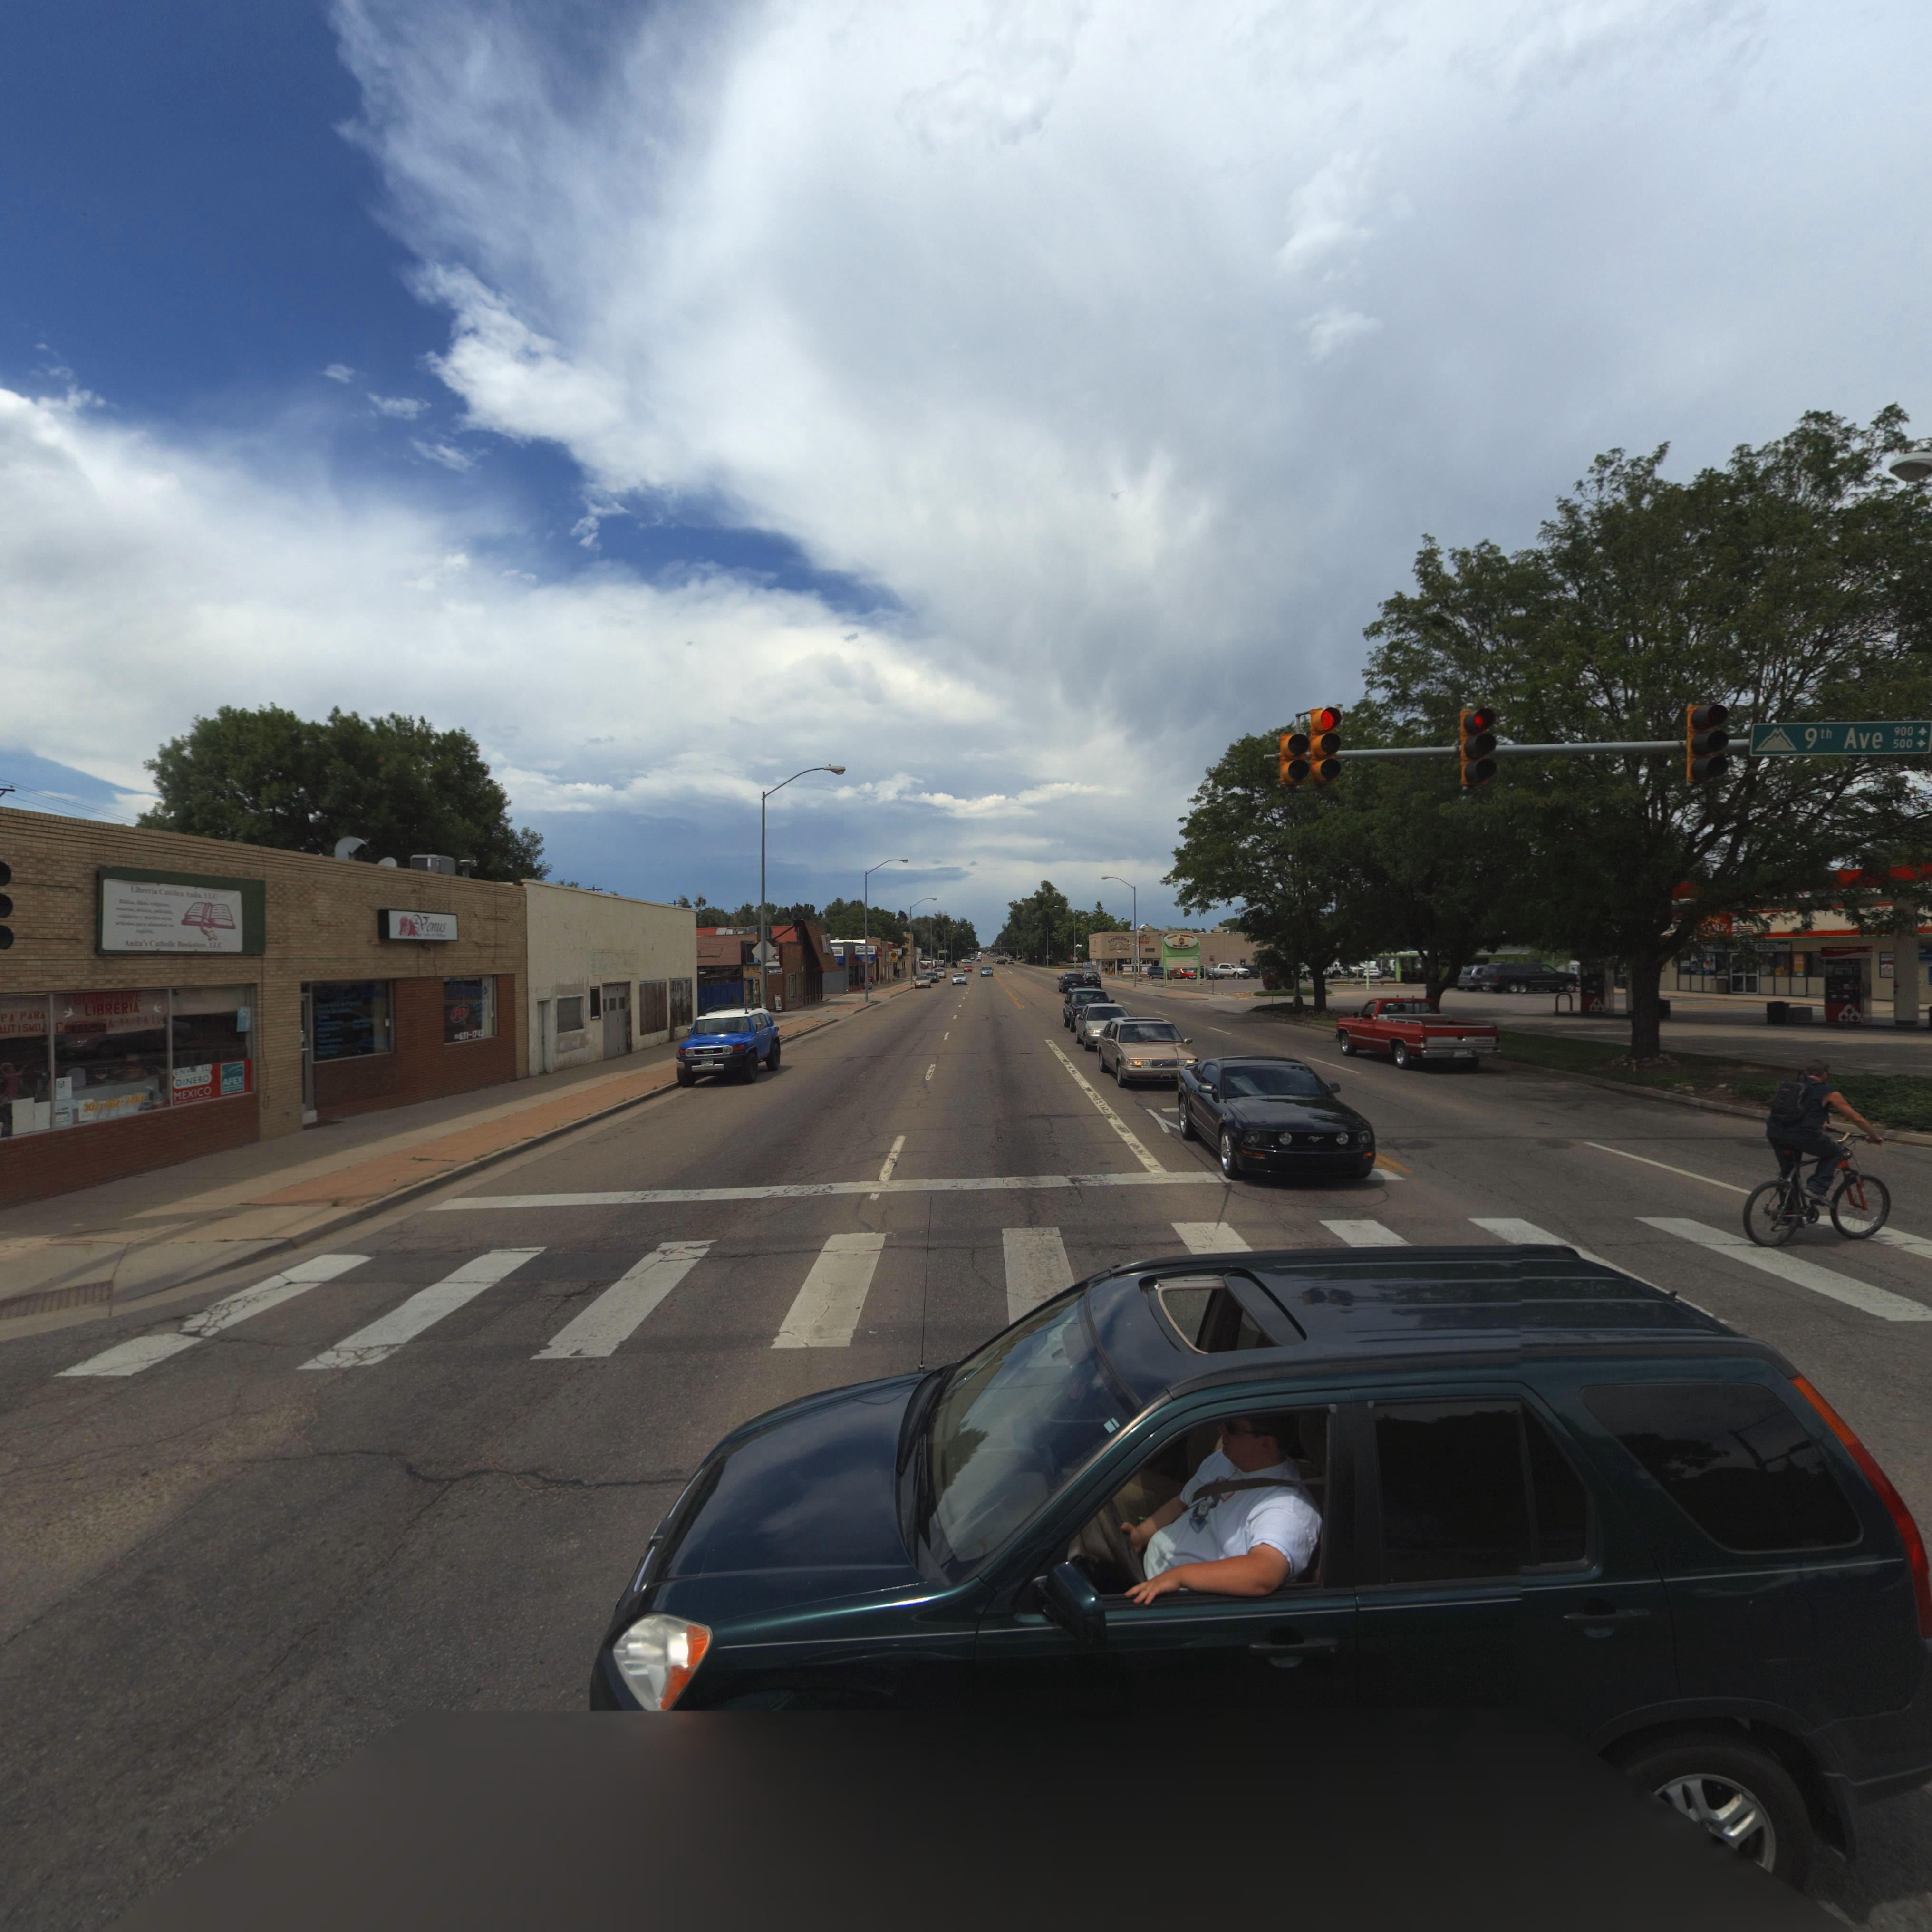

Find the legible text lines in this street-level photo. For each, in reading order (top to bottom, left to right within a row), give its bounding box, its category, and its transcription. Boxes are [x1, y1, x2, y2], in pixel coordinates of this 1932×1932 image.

[1804, 727, 1883, 749] StreetName: 9th Ave
[1893, 726, 1913, 736] StreetNumberRange: 900
[1893, 739, 1926, 748] StreetNumberRange: 500->
[130, 885, 218, 900] BusinessName: Libreri* C****** A***a LLC
[410, 913, 447, 932] BusinessName: Venus
[123, 939, 223, 948] BusinessName: Anita's Catholic Bookstore LLC
[1107, 937, 1129, 944] BusinessName: A*****IA
[1167, 934, 1177, 939] BusinessName: TACOS
[451, 977, 488, 998] BusinessName: Venus
[72, 990, 141, 1005] BusinessName: BO****ORE
[84, 1001, 140, 1016] BusinessName: LIBERIA
[54, 1018, 115, 1034] BusinessName: CAT***ICA